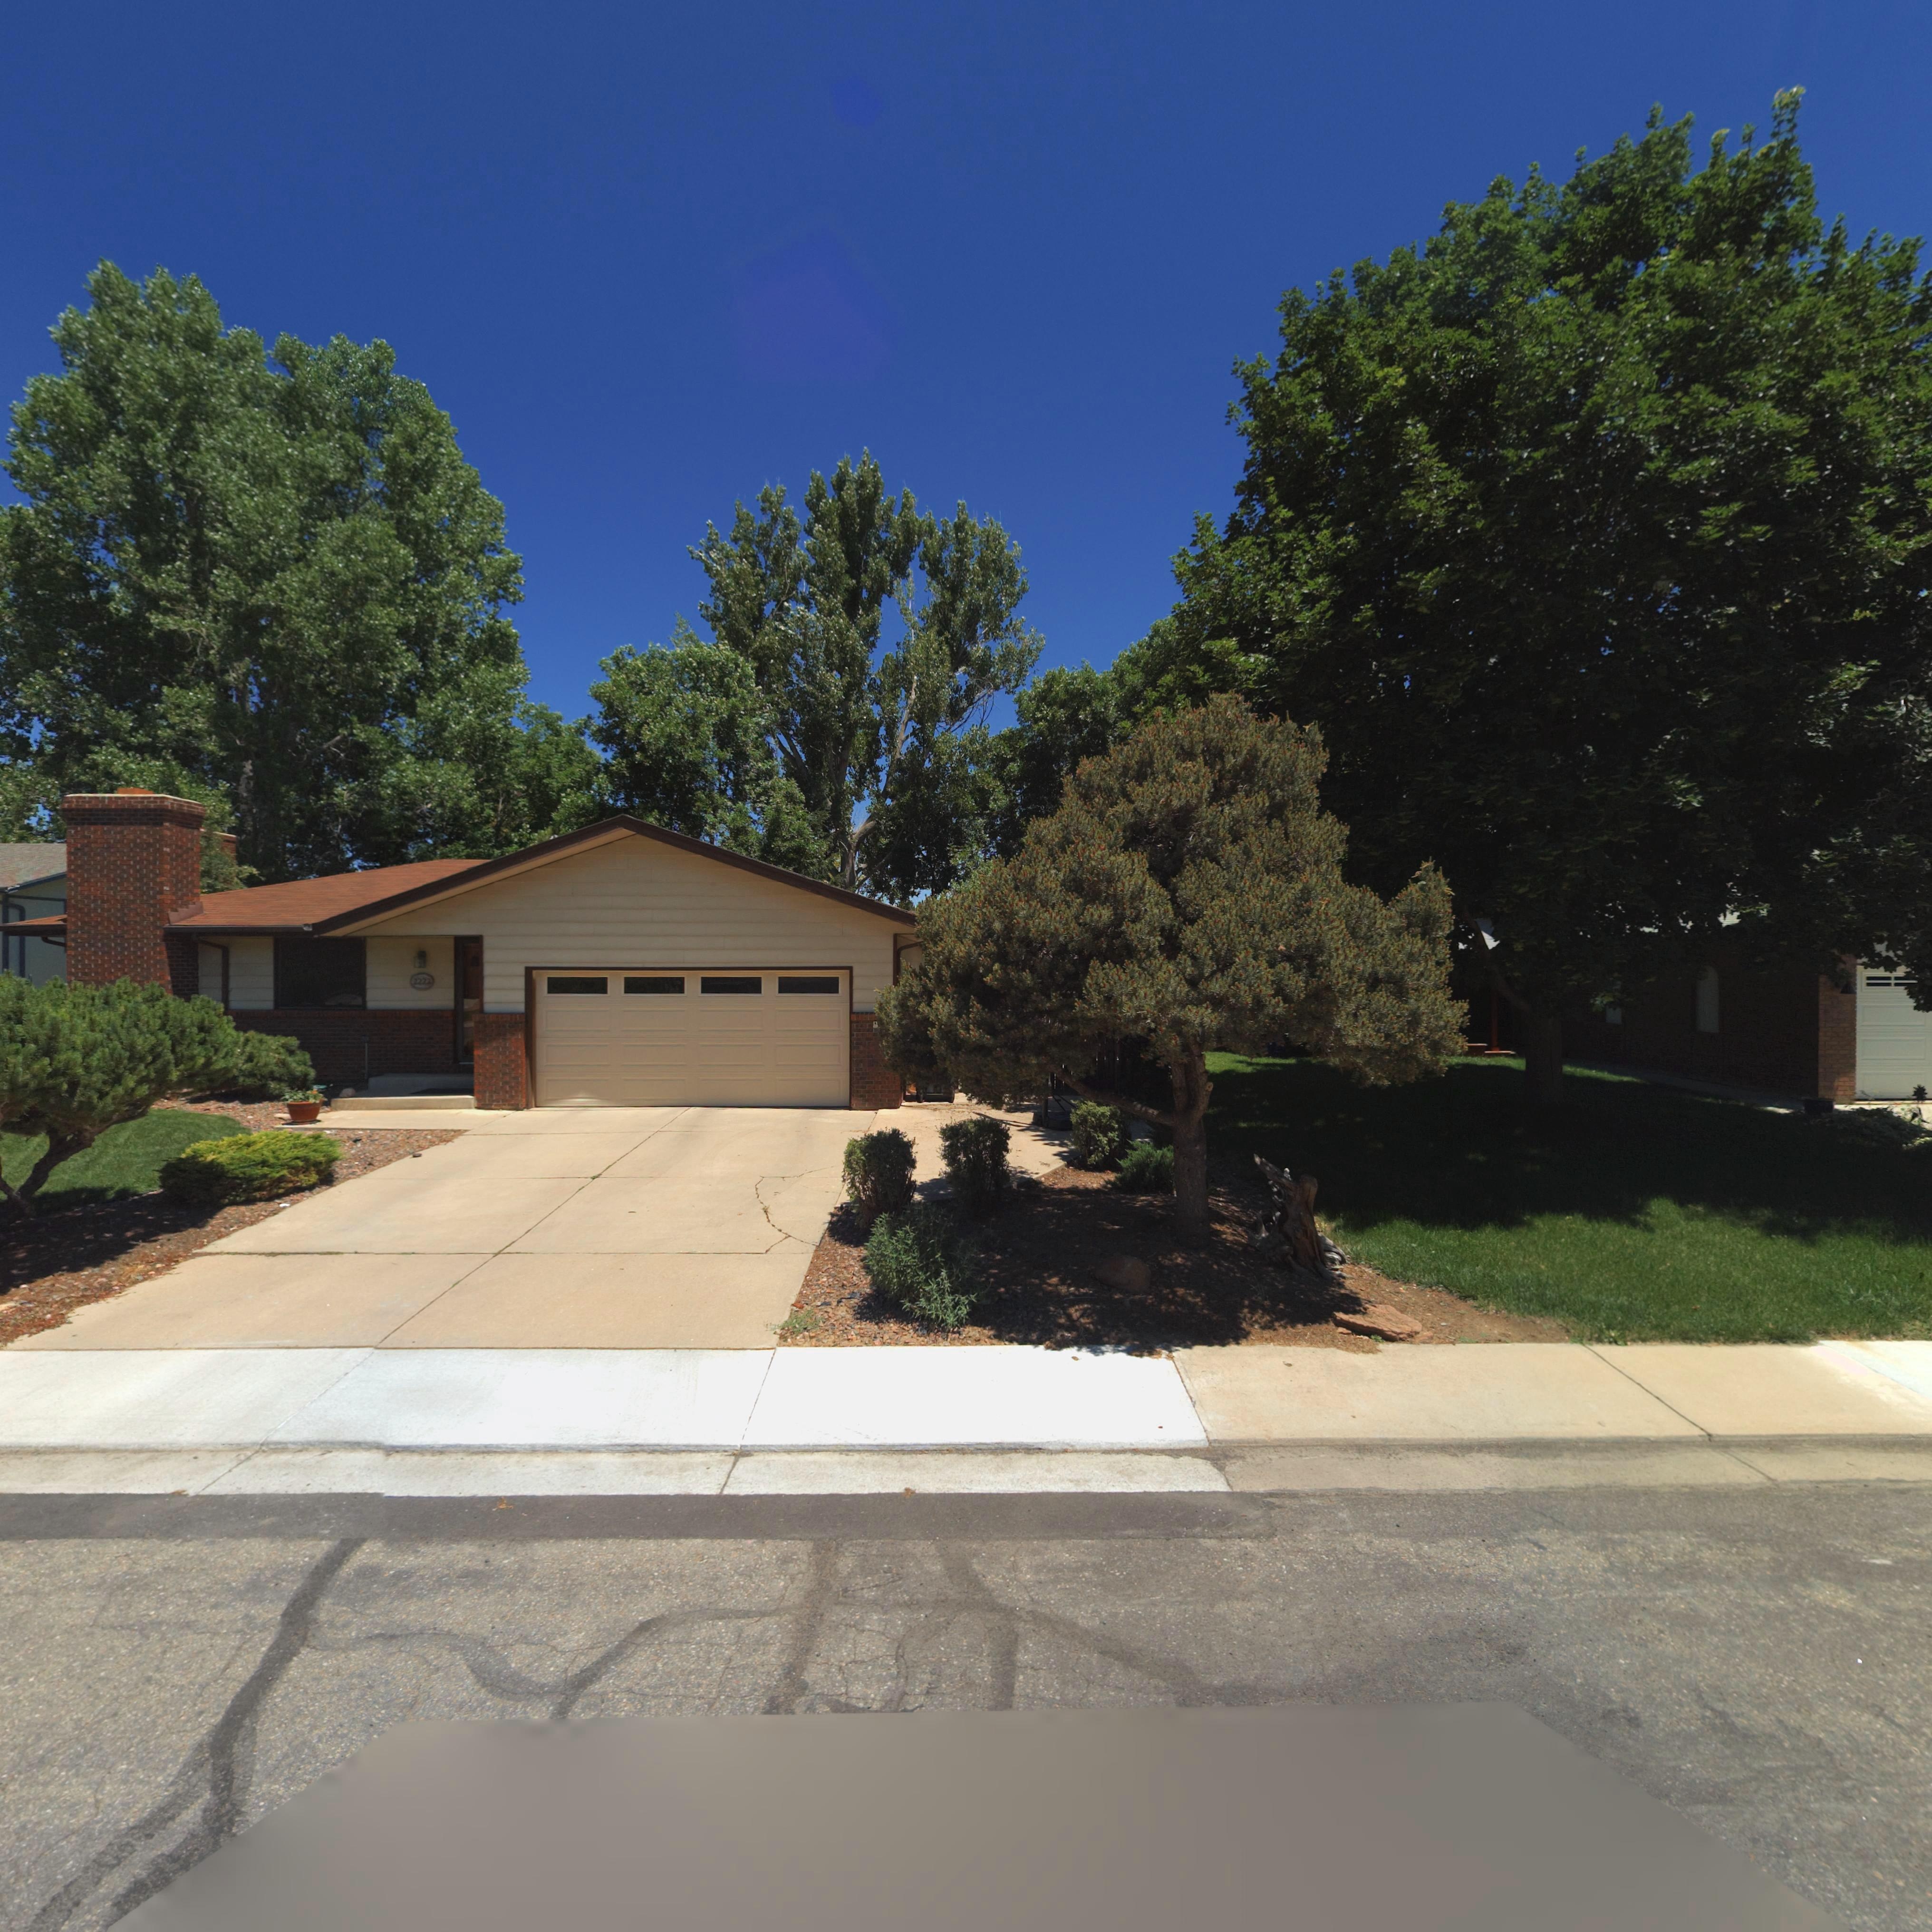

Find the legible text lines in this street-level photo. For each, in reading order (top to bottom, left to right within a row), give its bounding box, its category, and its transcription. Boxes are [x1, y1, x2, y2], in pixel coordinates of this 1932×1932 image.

[411, 977, 432, 985] StreetNumber: 2222